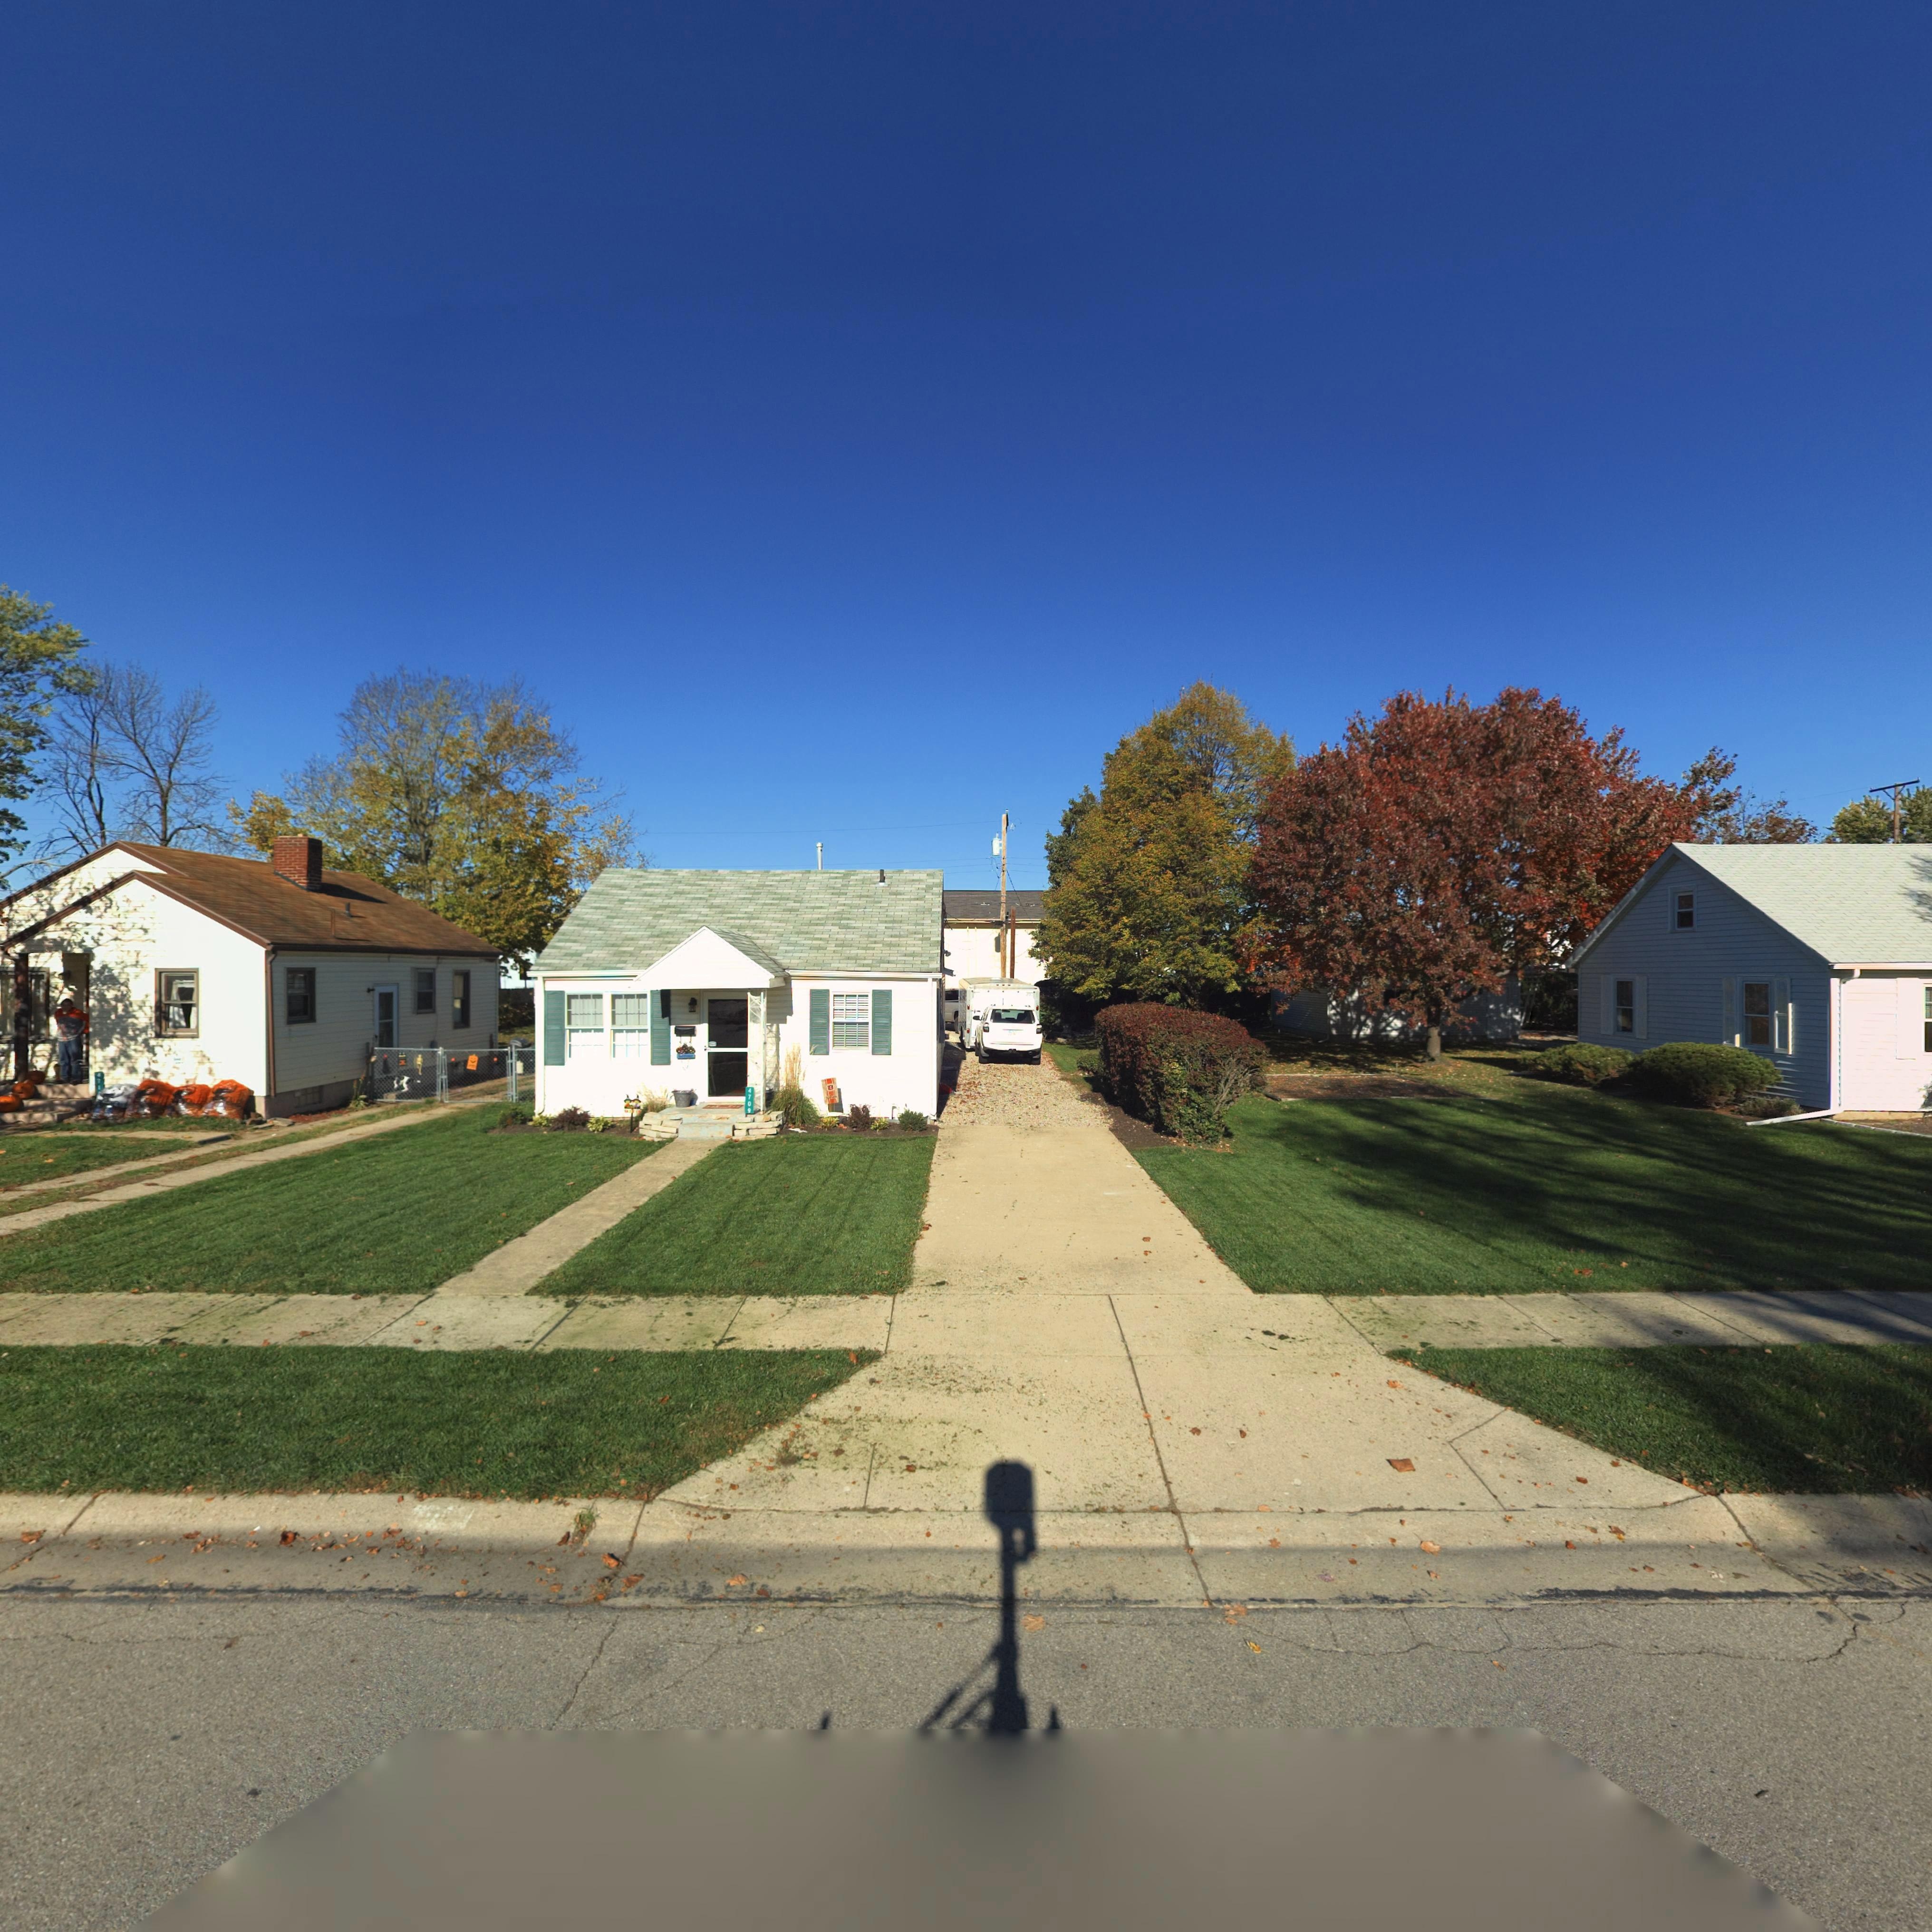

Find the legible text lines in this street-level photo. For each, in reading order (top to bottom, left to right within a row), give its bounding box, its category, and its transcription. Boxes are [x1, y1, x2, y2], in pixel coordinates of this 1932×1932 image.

[96, 1071, 102, 1091] StreetNumber: *71
[746, 1086, 752, 1114] StreetNumber: 4709